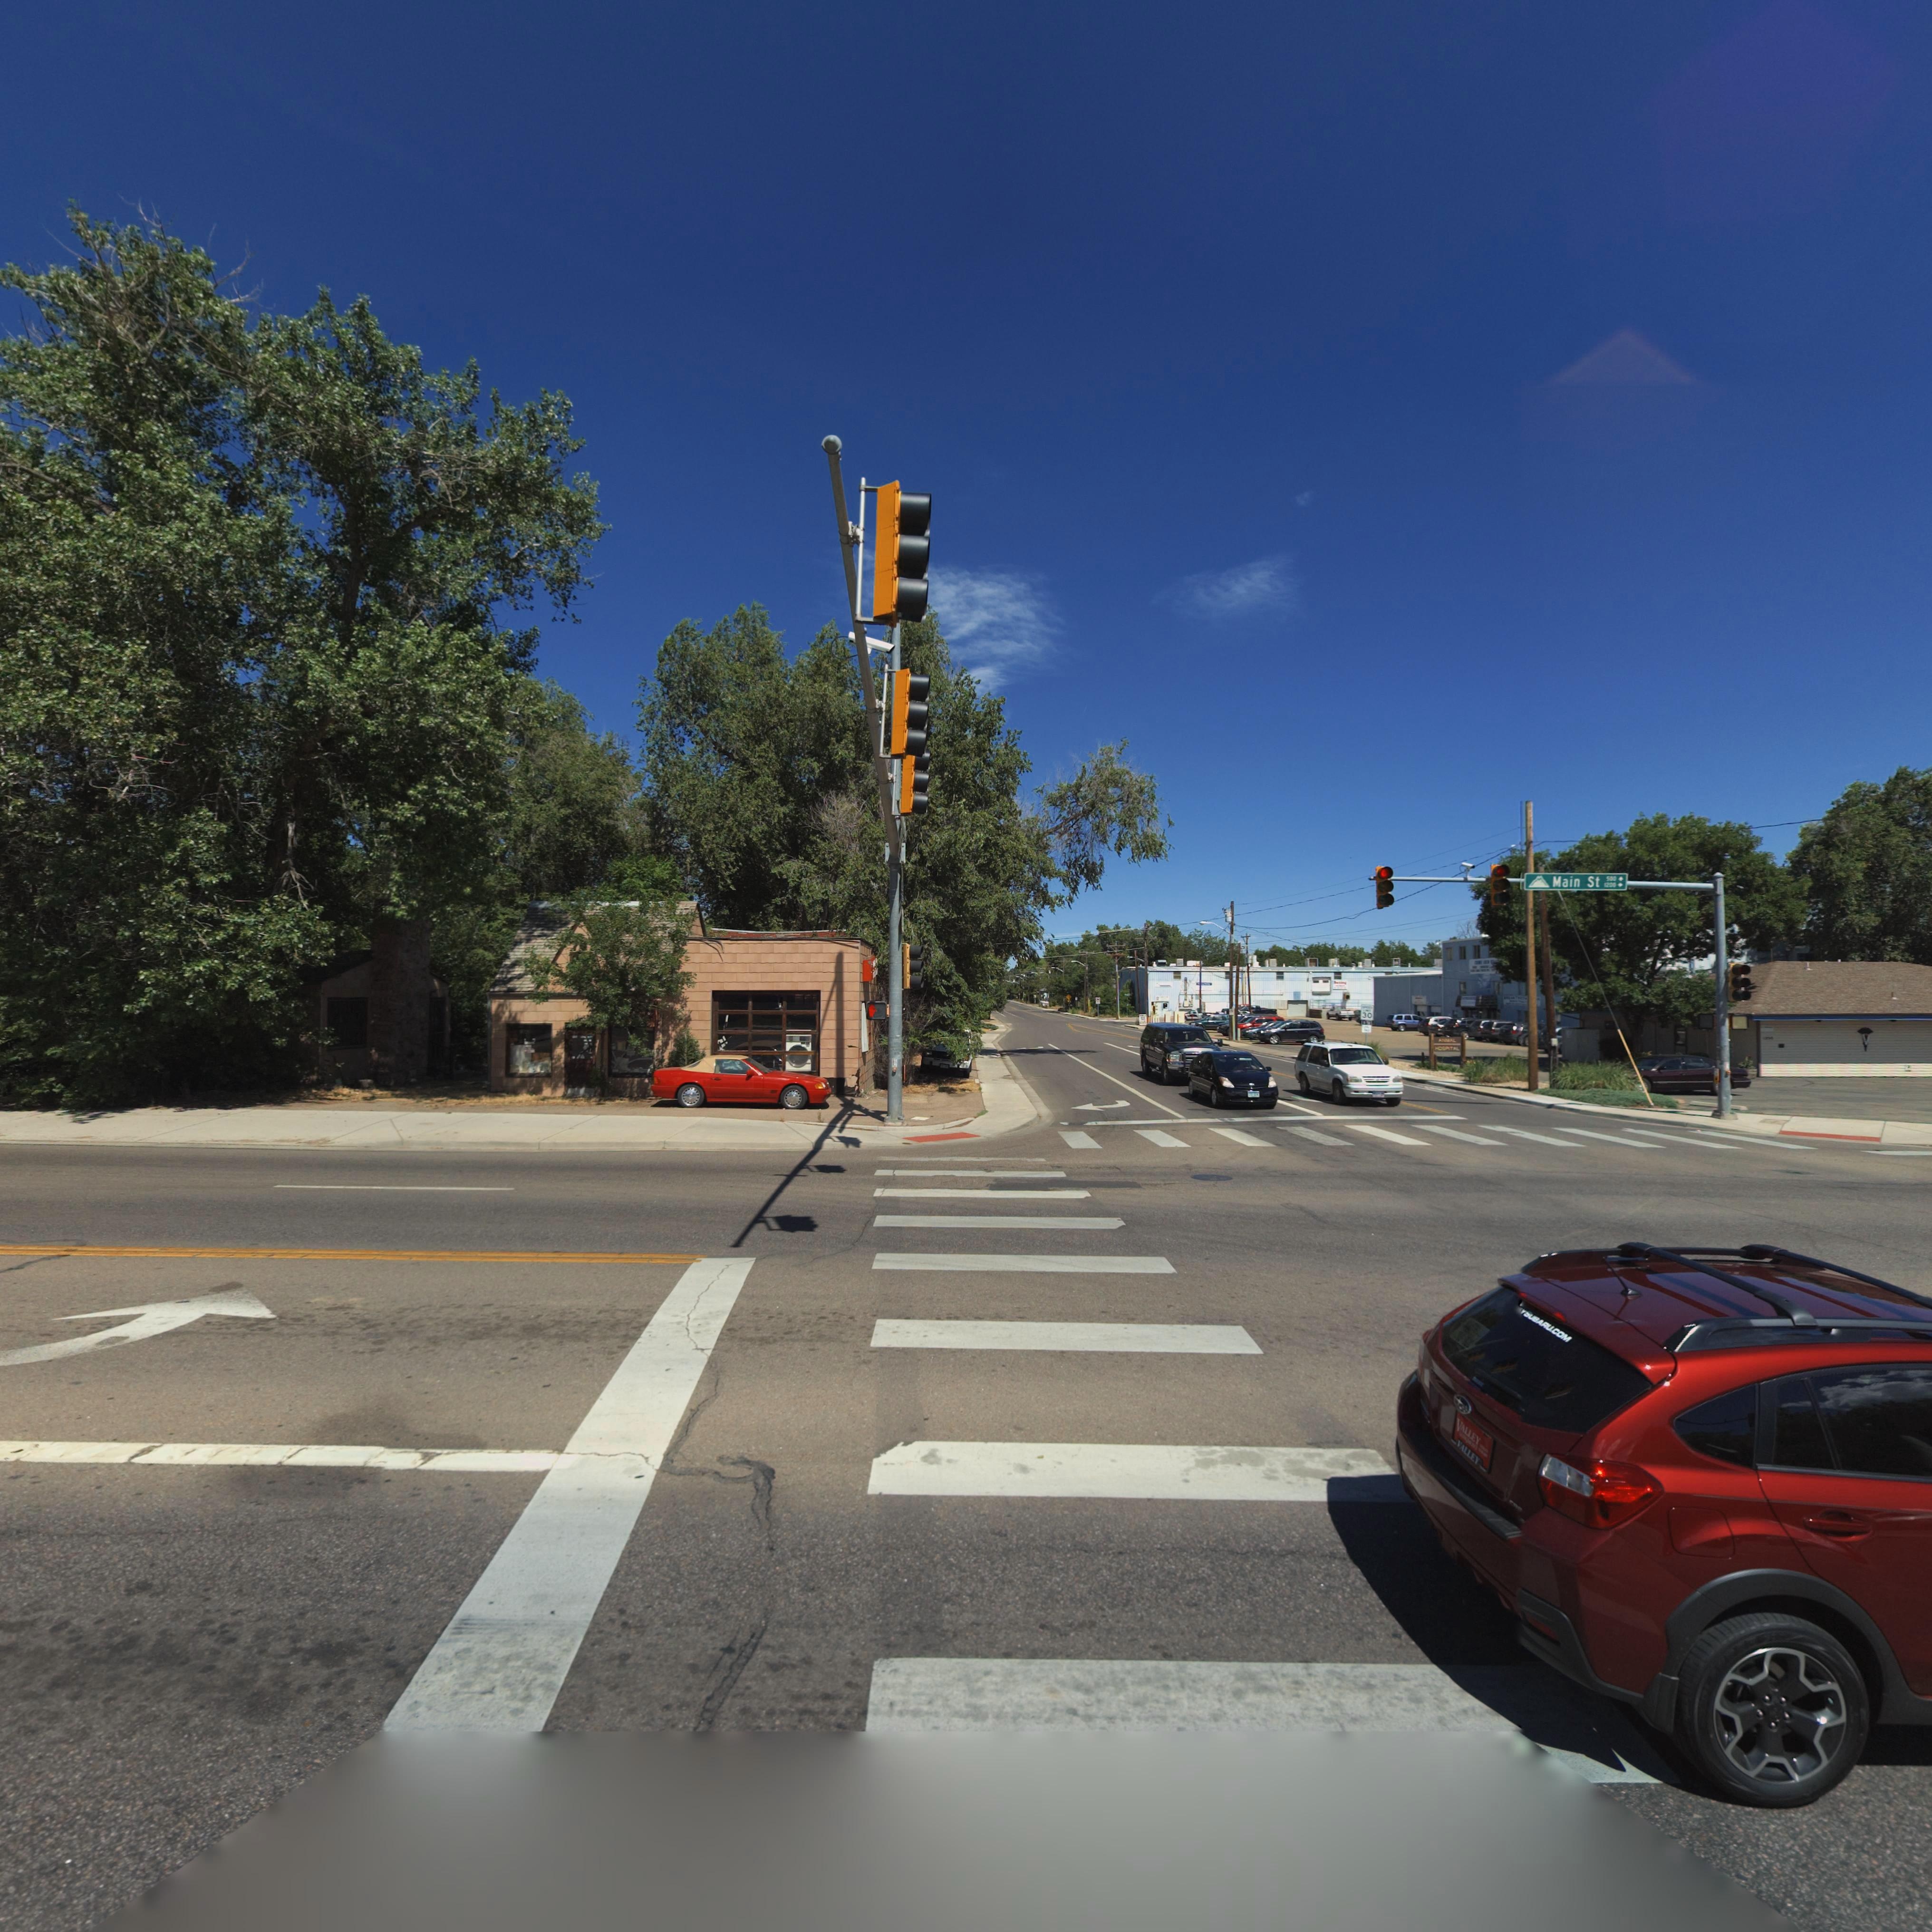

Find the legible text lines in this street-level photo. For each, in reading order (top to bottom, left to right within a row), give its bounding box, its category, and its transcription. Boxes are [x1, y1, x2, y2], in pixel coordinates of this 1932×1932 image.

[1605, 876, 1617, 881] StreetNumberRange: 500
[1552, 875, 1600, 888] StreetName: Main St
[1604, 882, 1616, 887] StreetNumberRange: 1200